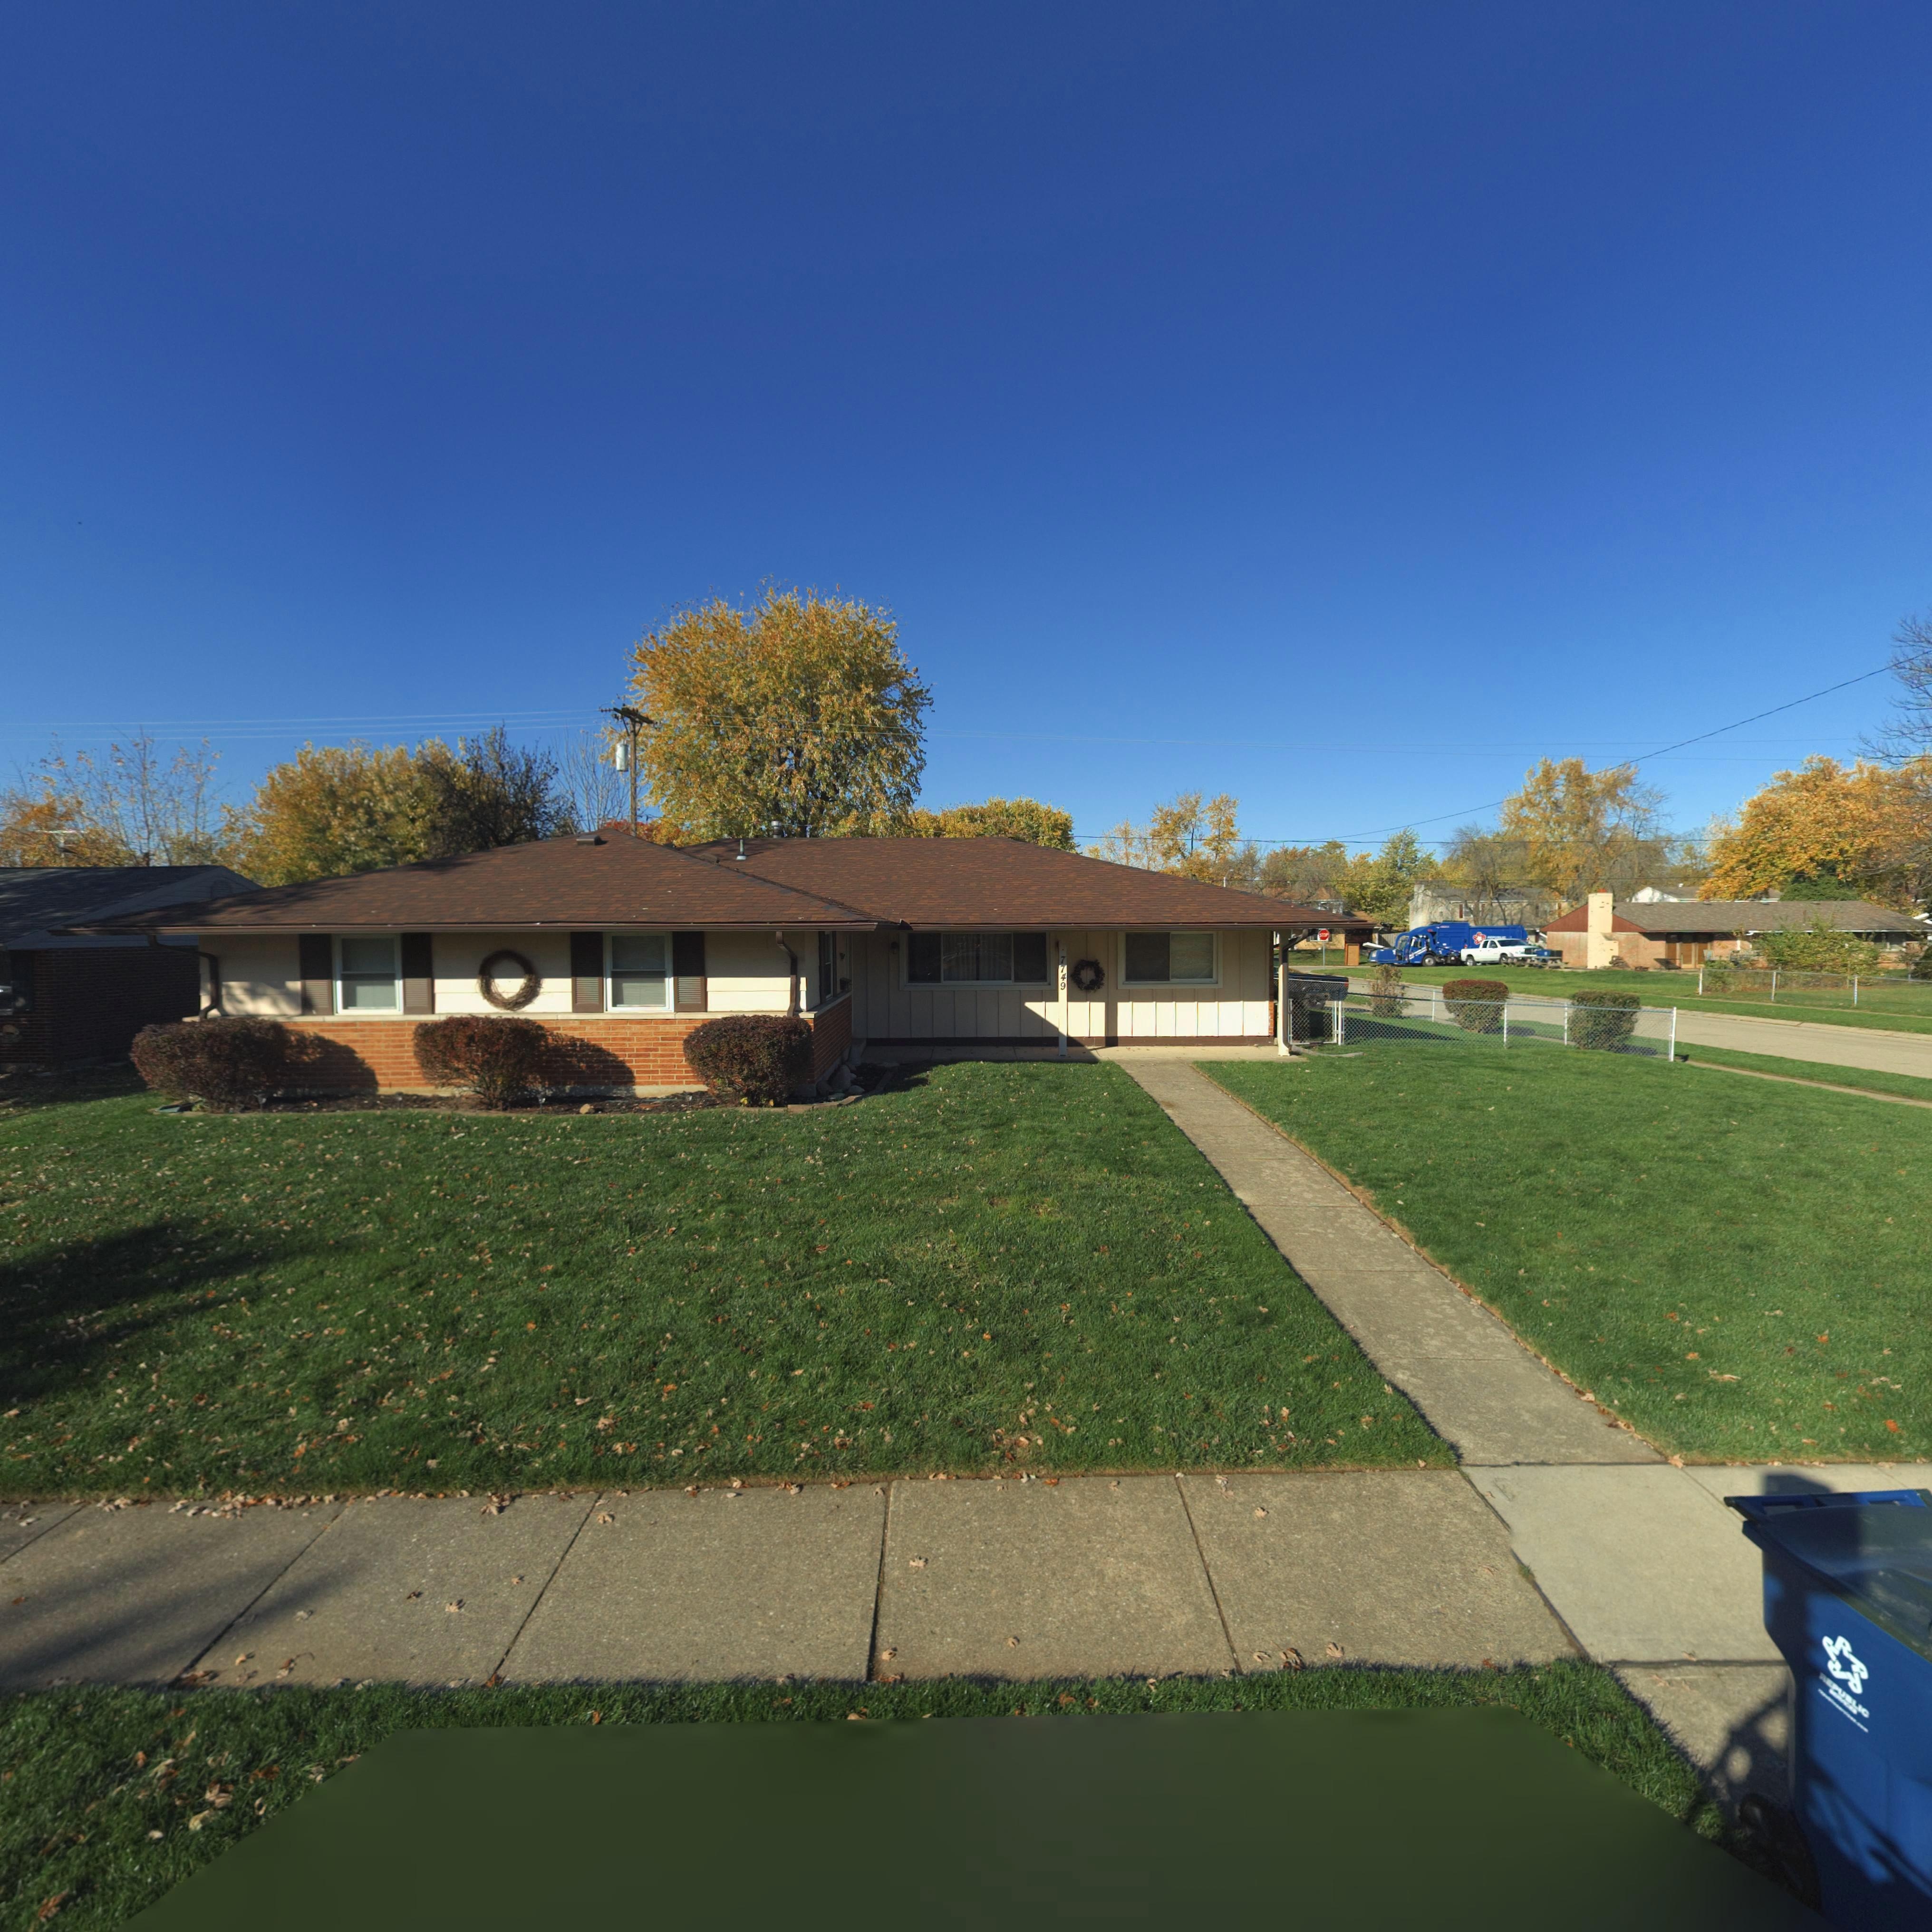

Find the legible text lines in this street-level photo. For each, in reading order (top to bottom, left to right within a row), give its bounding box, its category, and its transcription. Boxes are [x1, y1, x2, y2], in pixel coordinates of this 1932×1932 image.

[1060, 956, 1067, 990] StreetNumber: 7749